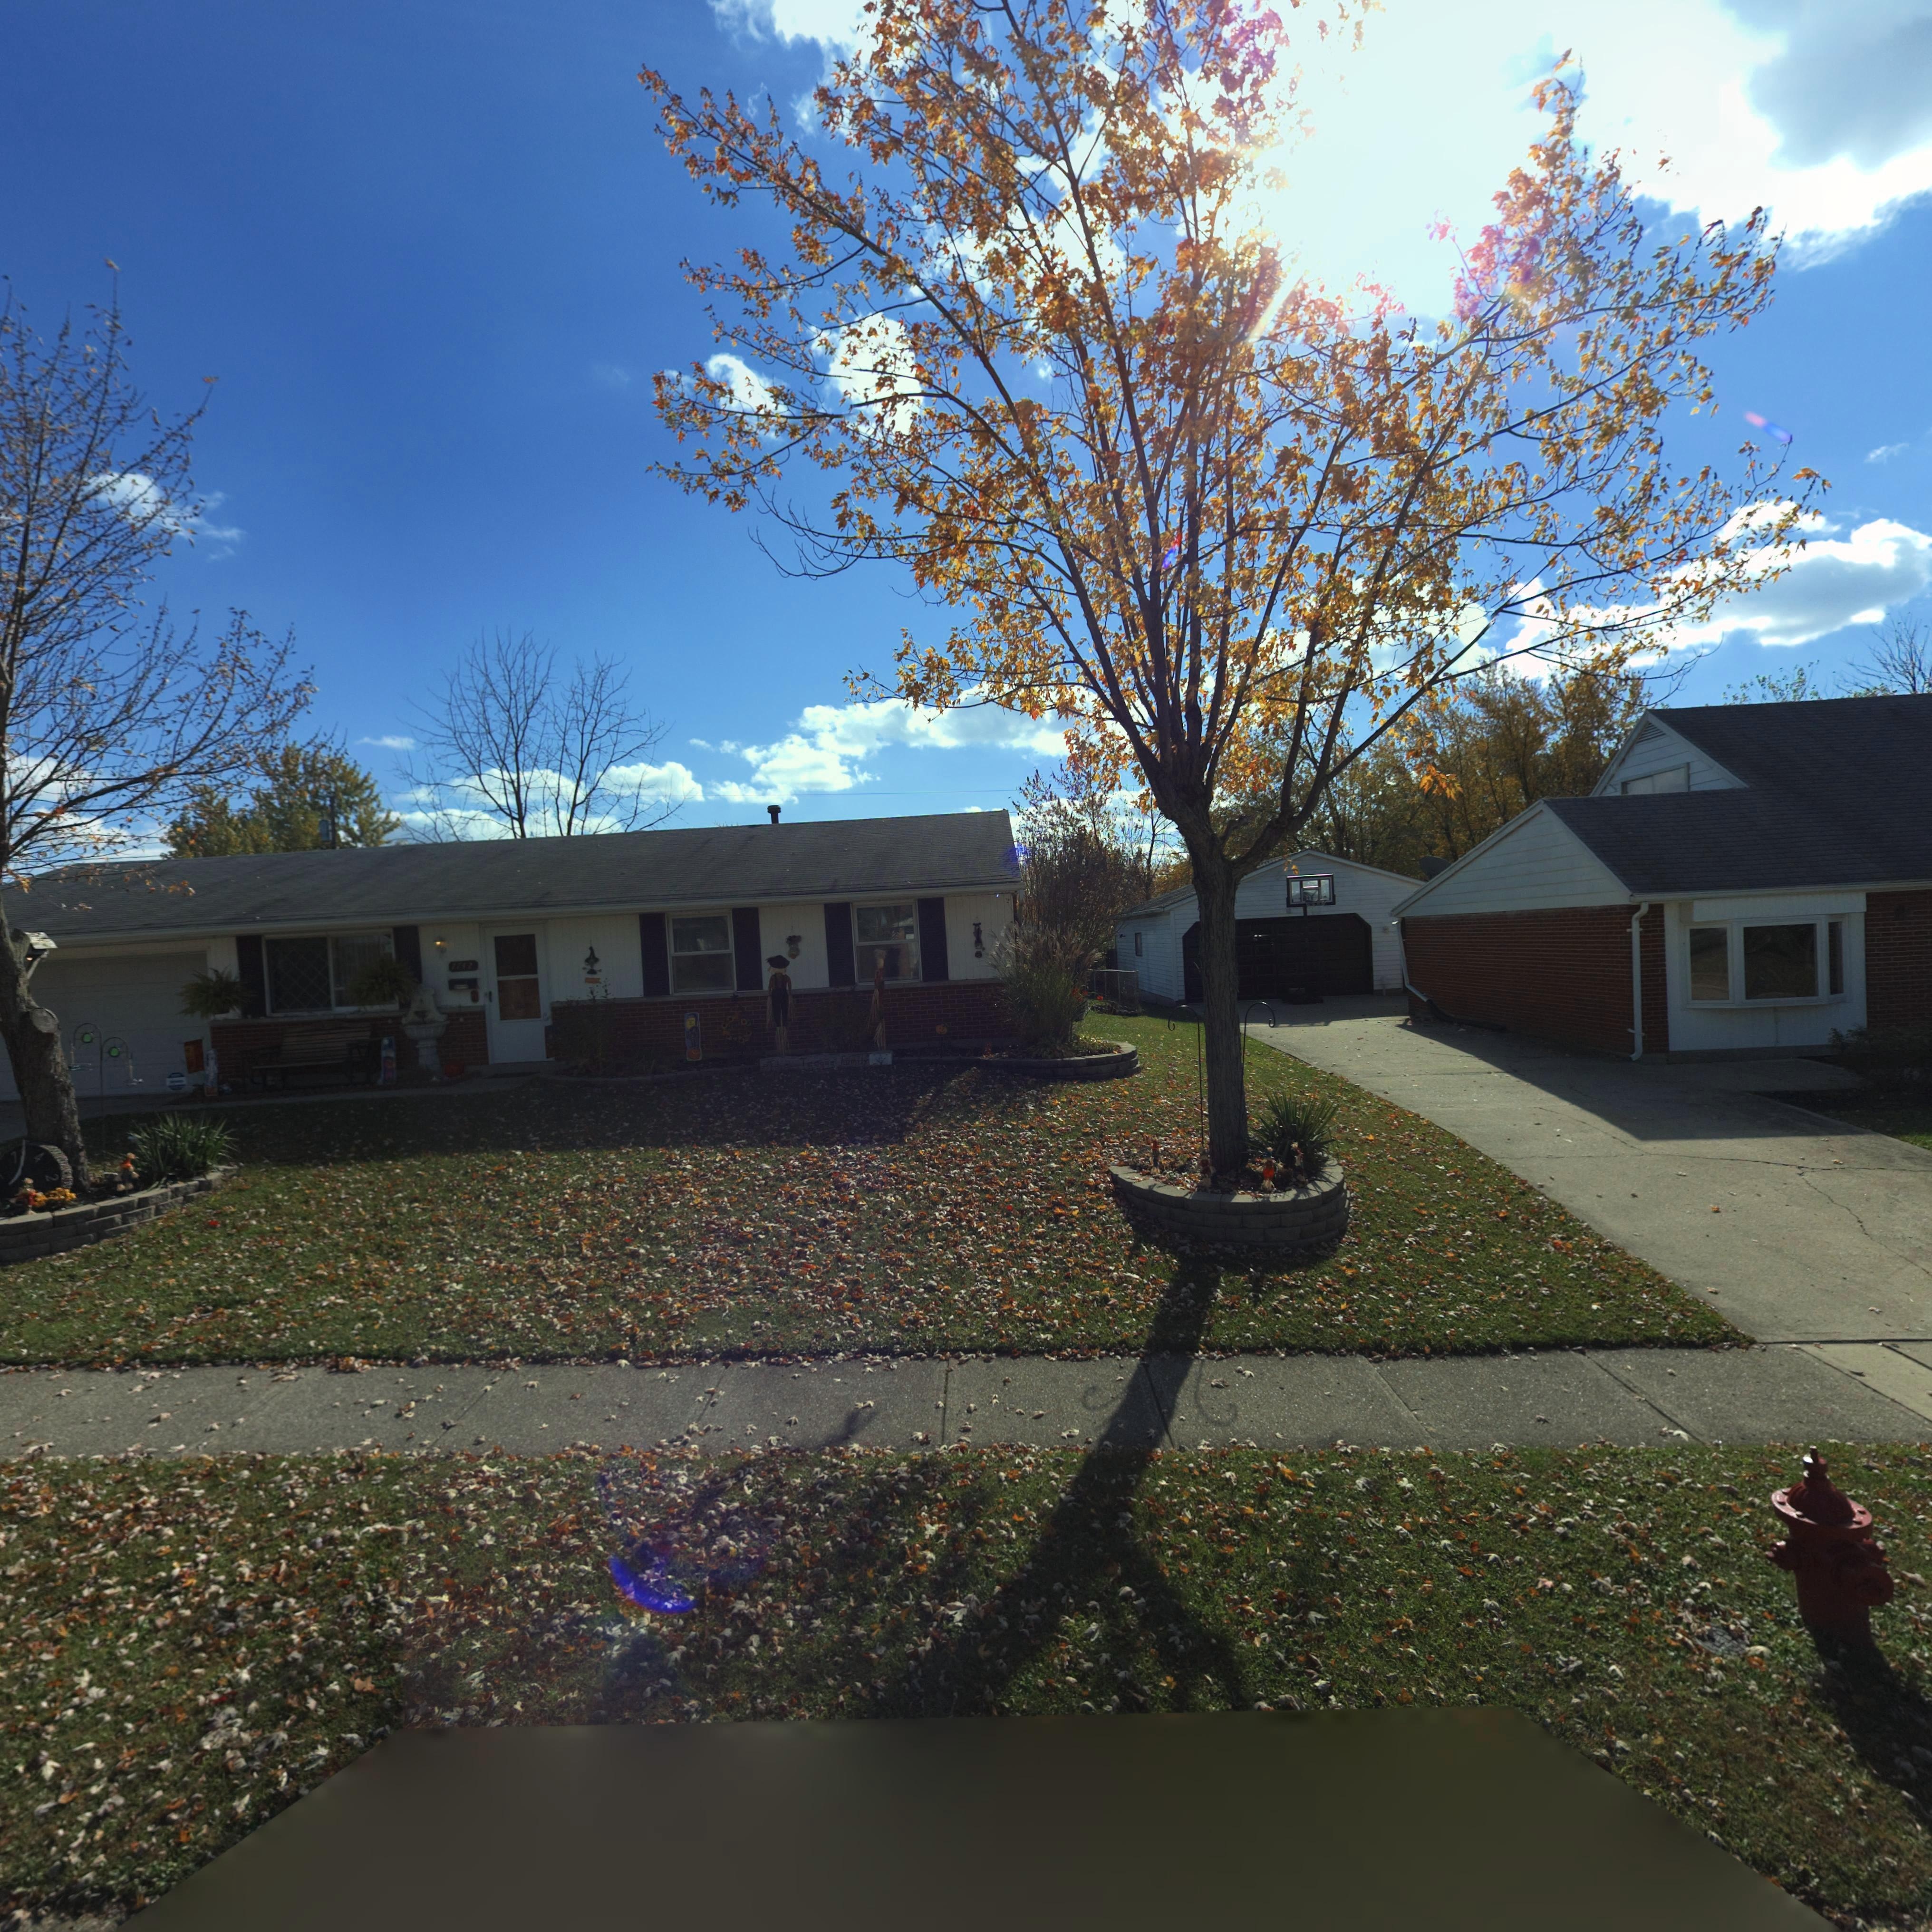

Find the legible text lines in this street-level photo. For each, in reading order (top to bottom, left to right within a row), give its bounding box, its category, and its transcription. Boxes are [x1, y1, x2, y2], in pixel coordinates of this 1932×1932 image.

[450, 961, 473, 971] StreetNumber: 7742